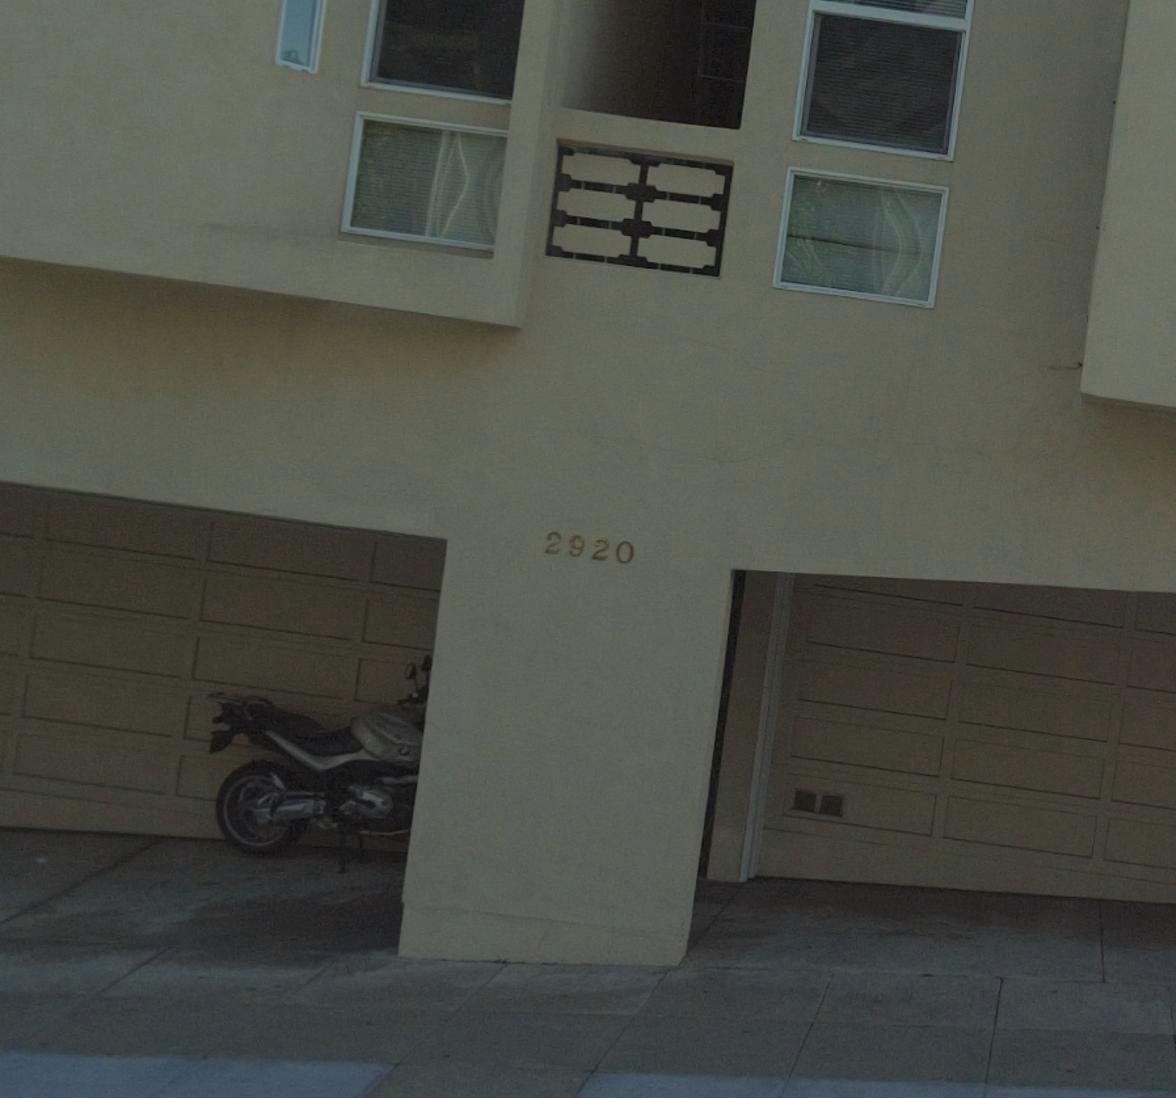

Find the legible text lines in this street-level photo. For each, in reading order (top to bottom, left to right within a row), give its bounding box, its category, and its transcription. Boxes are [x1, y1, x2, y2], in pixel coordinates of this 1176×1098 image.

[541, 528, 640, 567] StreetNumber: 2920